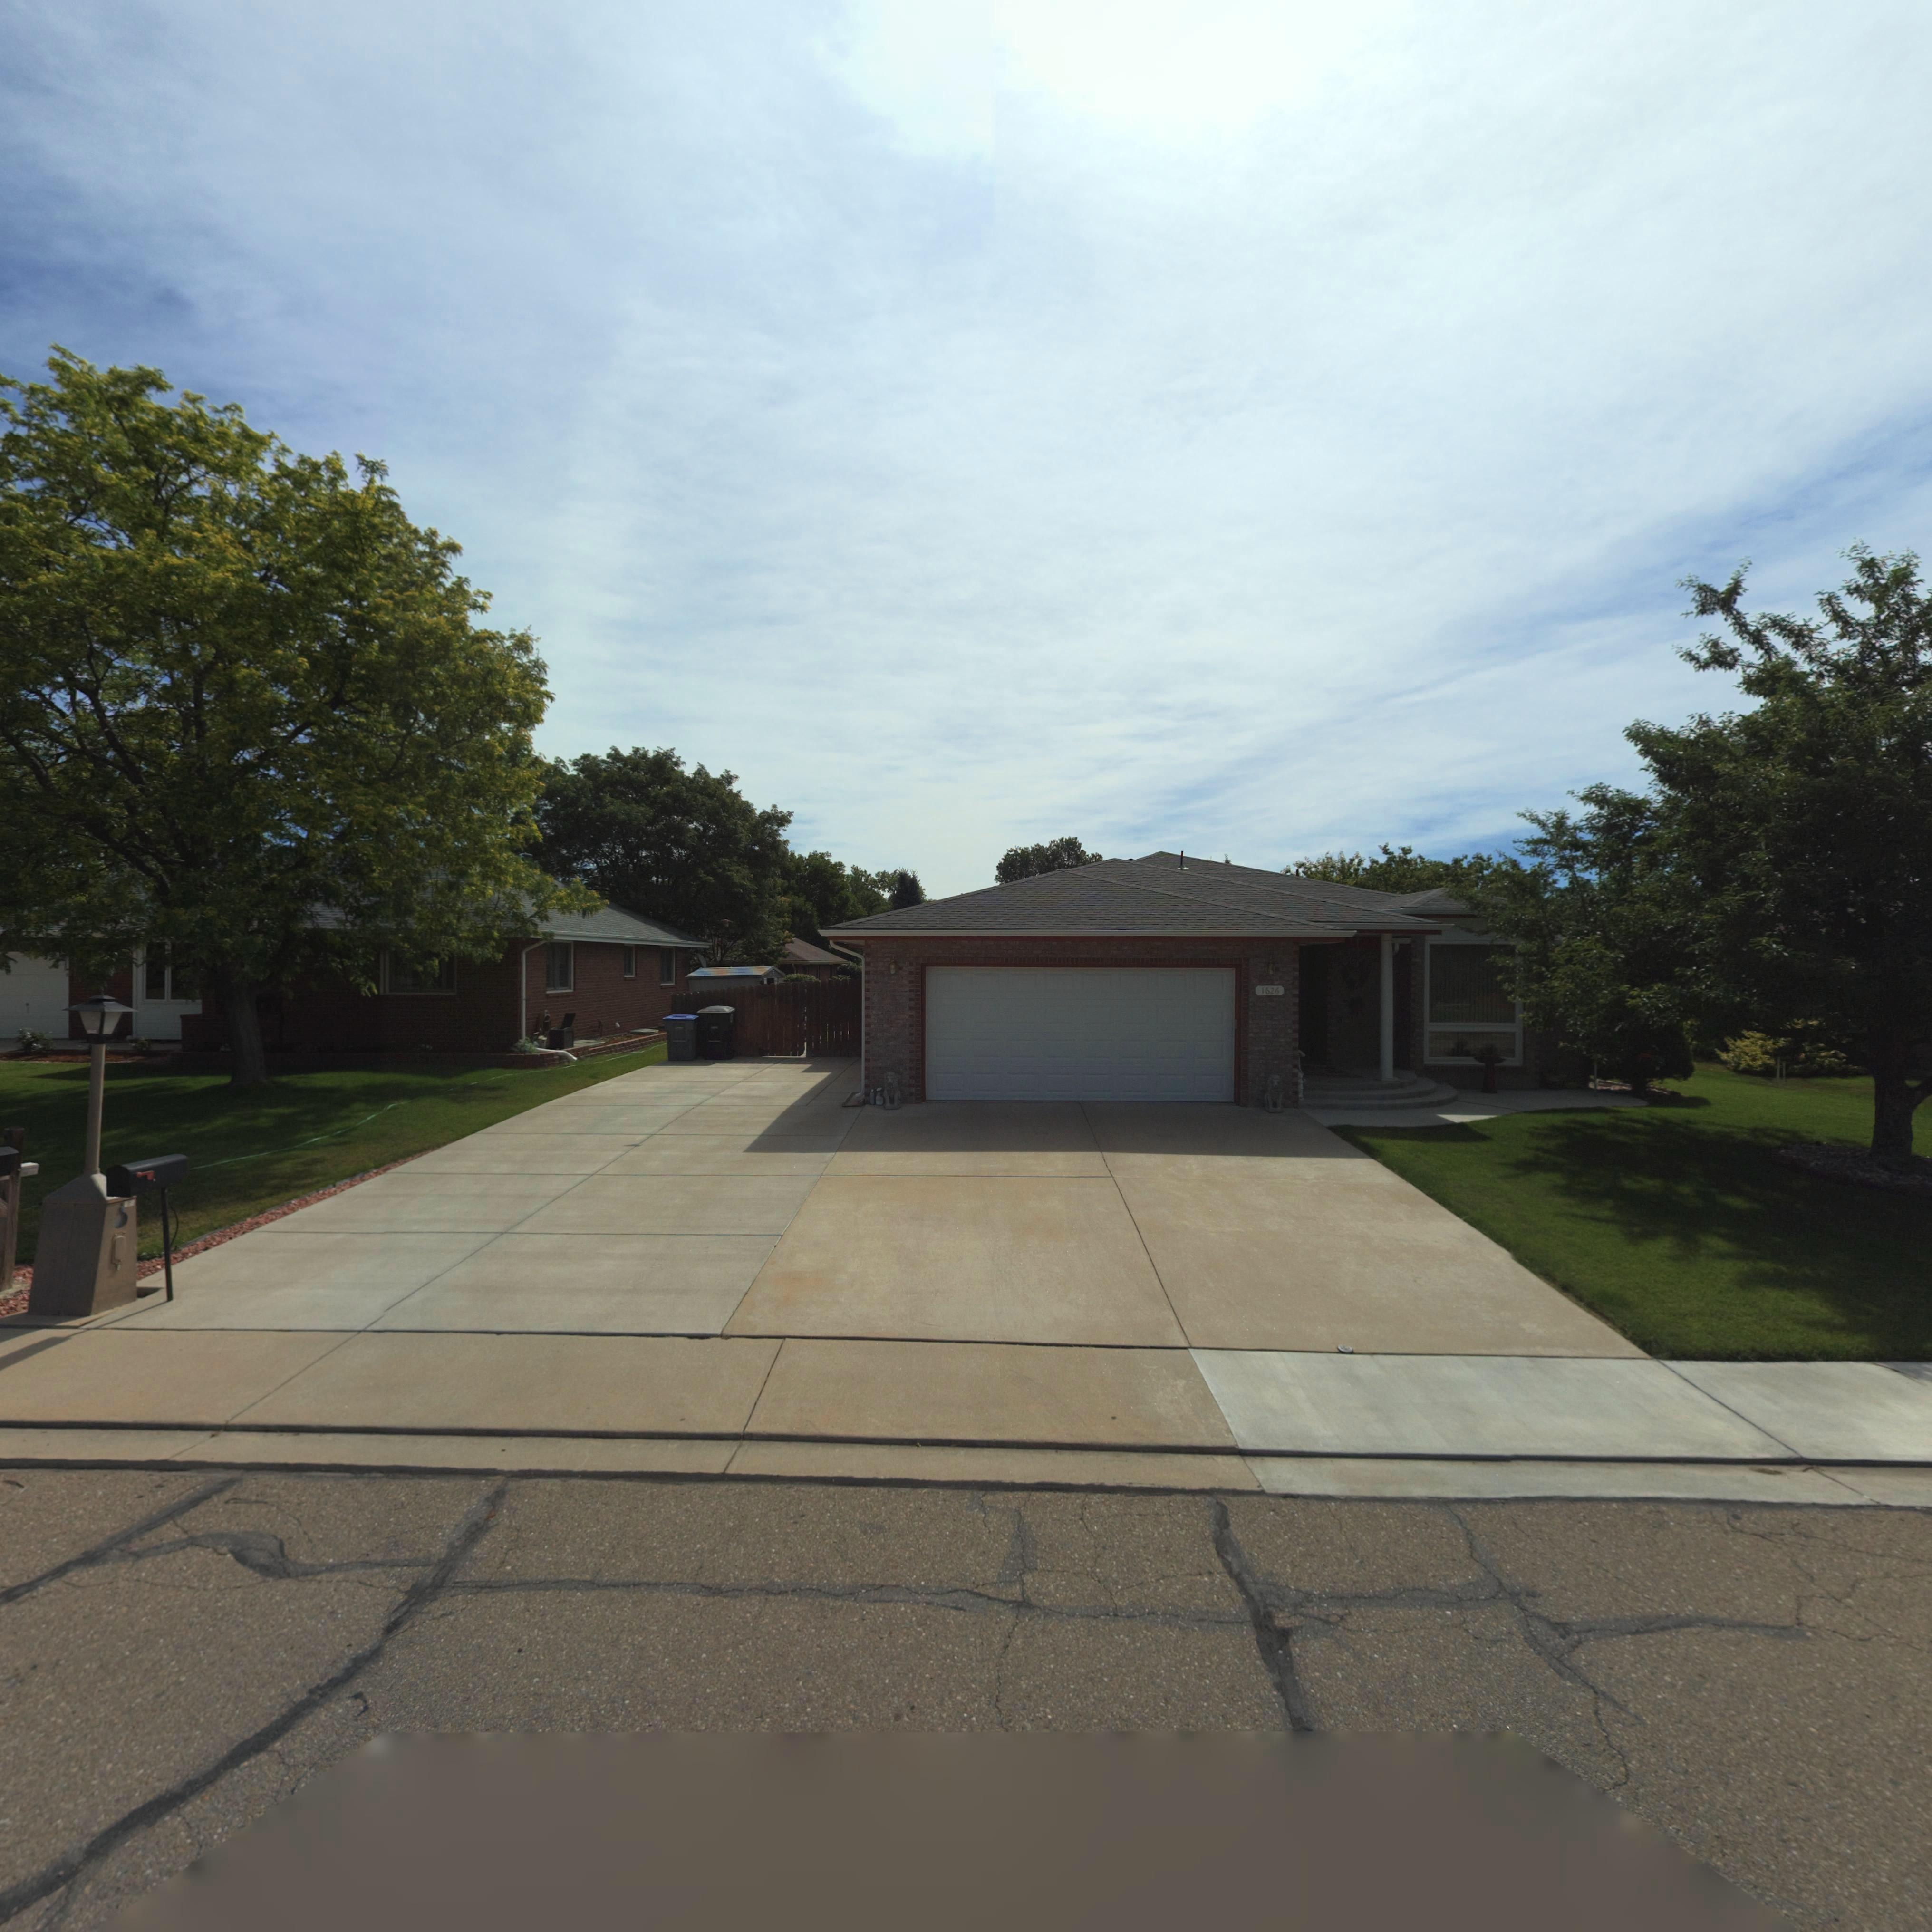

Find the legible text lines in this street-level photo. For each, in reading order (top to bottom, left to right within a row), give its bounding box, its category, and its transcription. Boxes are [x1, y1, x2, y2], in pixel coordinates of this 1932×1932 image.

[1261, 986, 1280, 995] StreetNumber: 1626